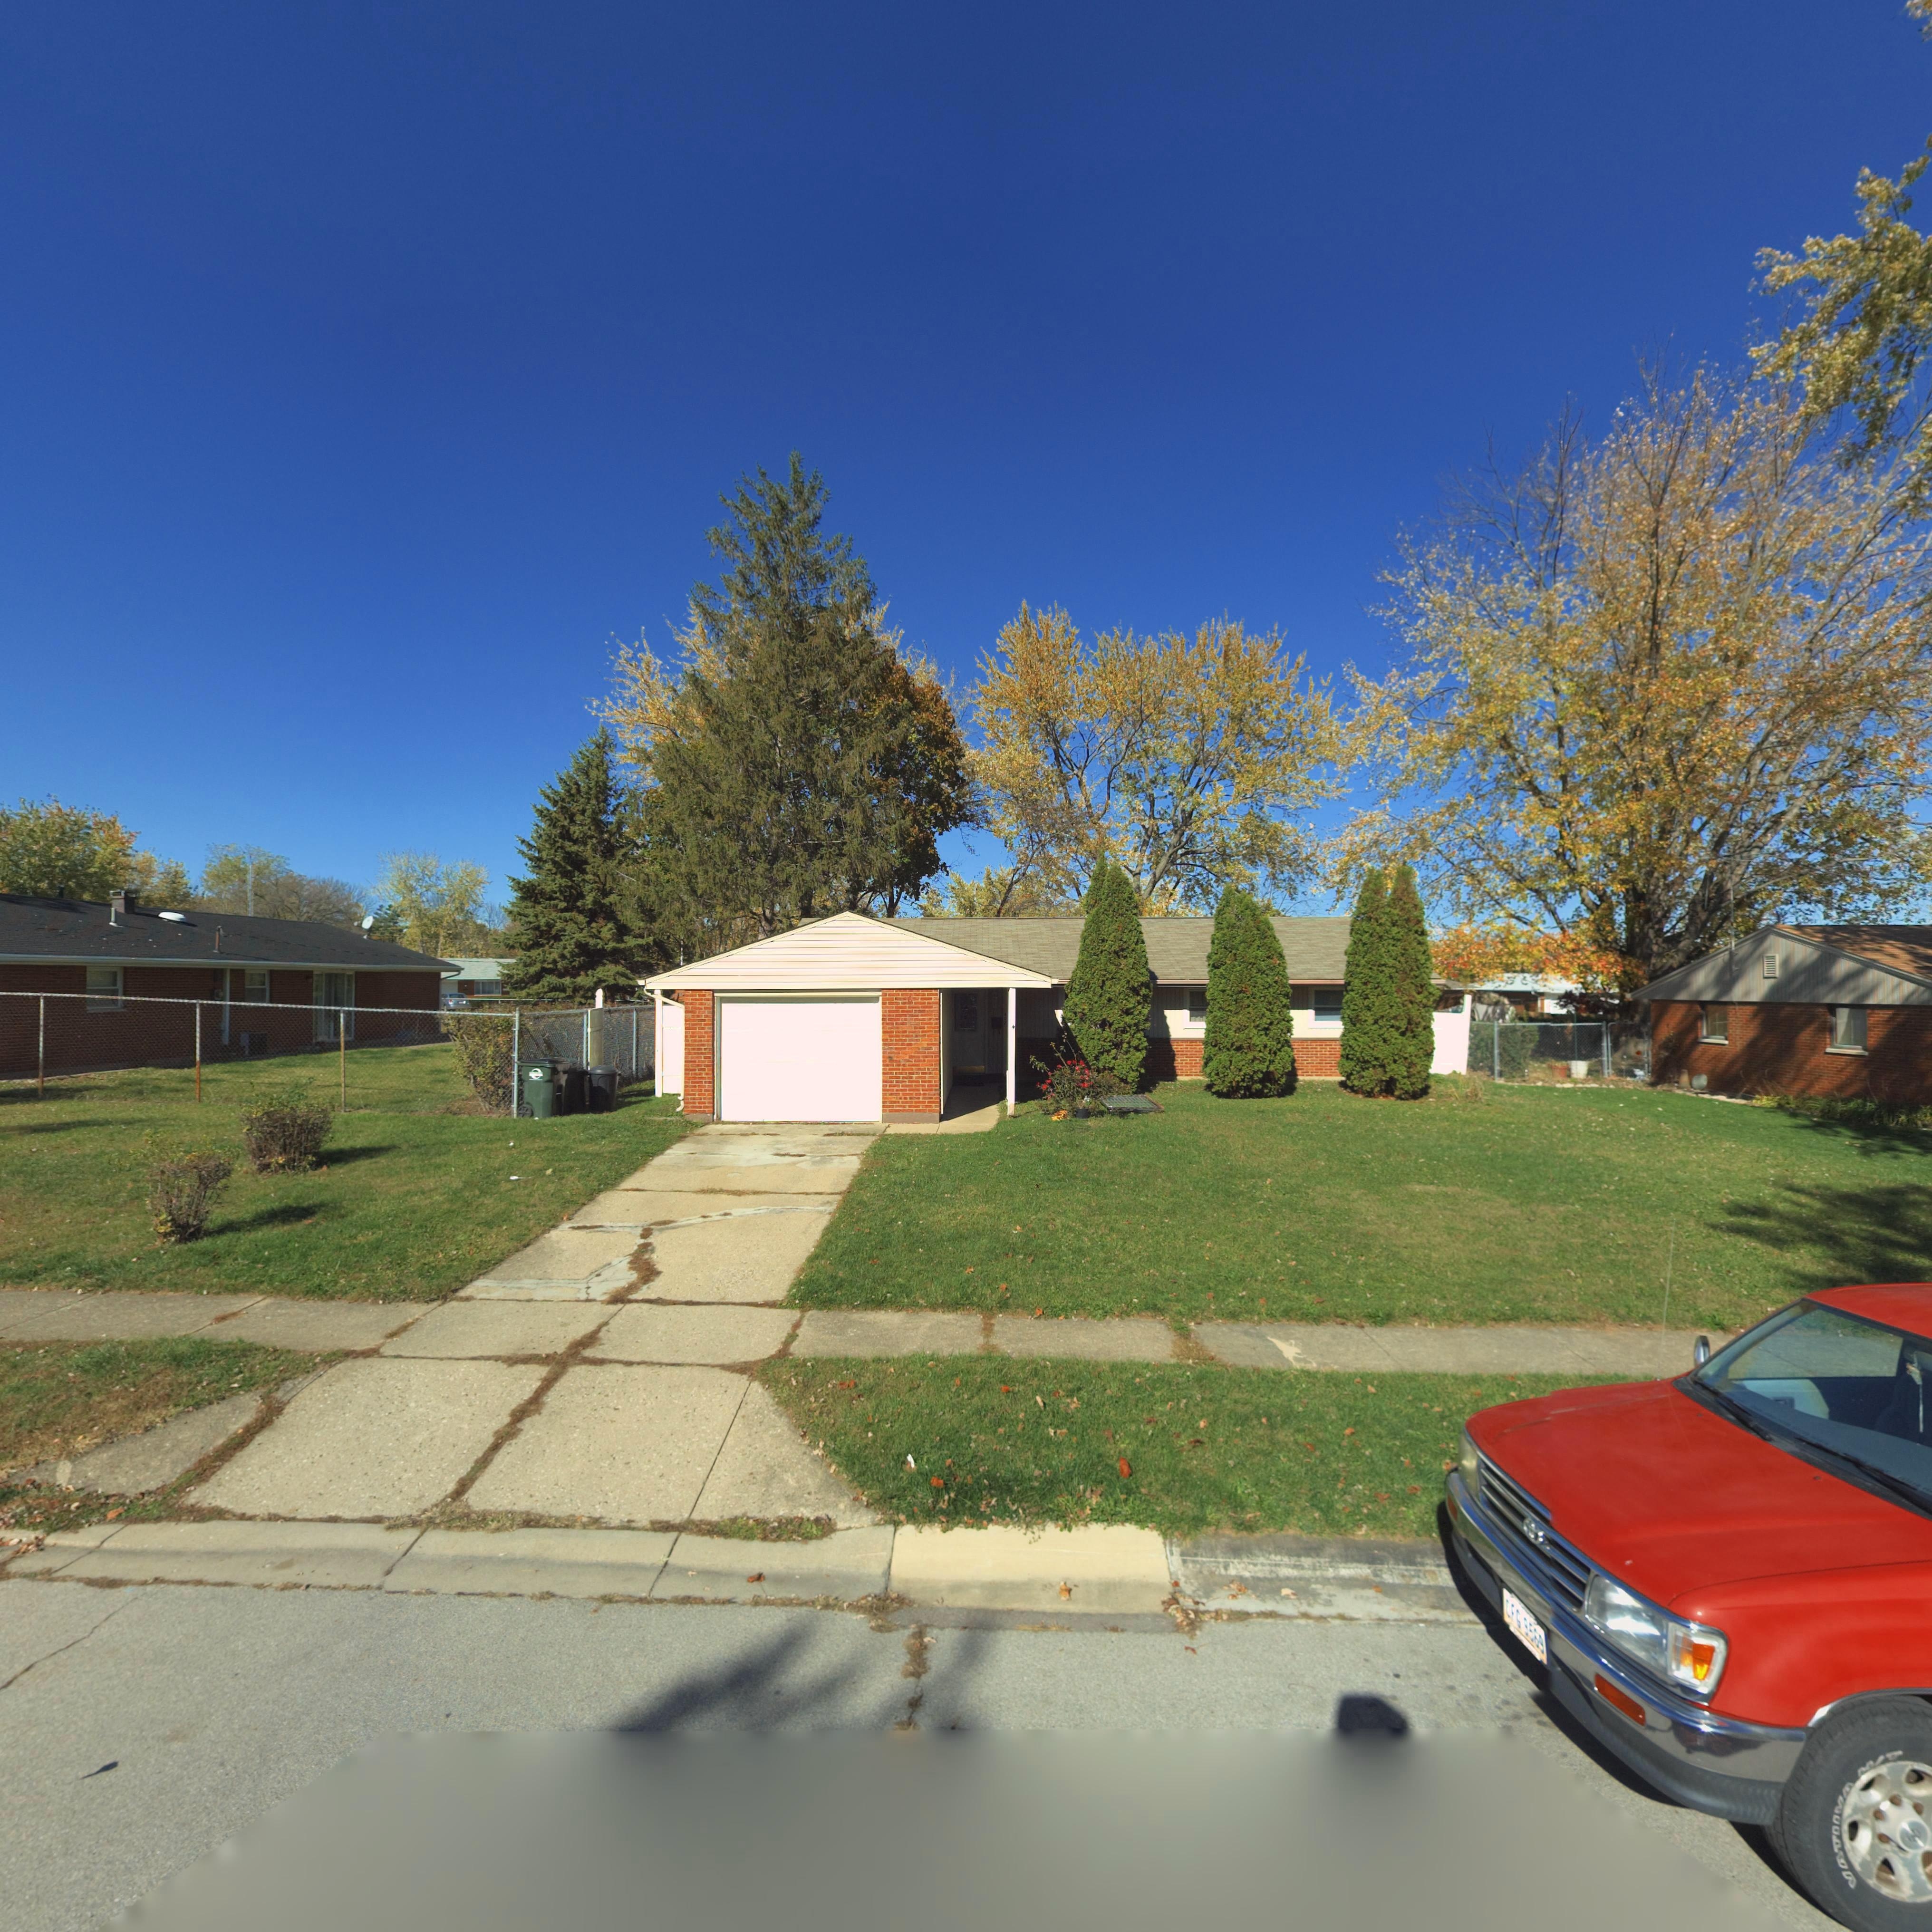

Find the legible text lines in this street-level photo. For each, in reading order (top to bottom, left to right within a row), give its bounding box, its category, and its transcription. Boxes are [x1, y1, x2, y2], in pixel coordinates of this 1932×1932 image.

[1003, 1012, 1007, 1025] StreetNumber: 402